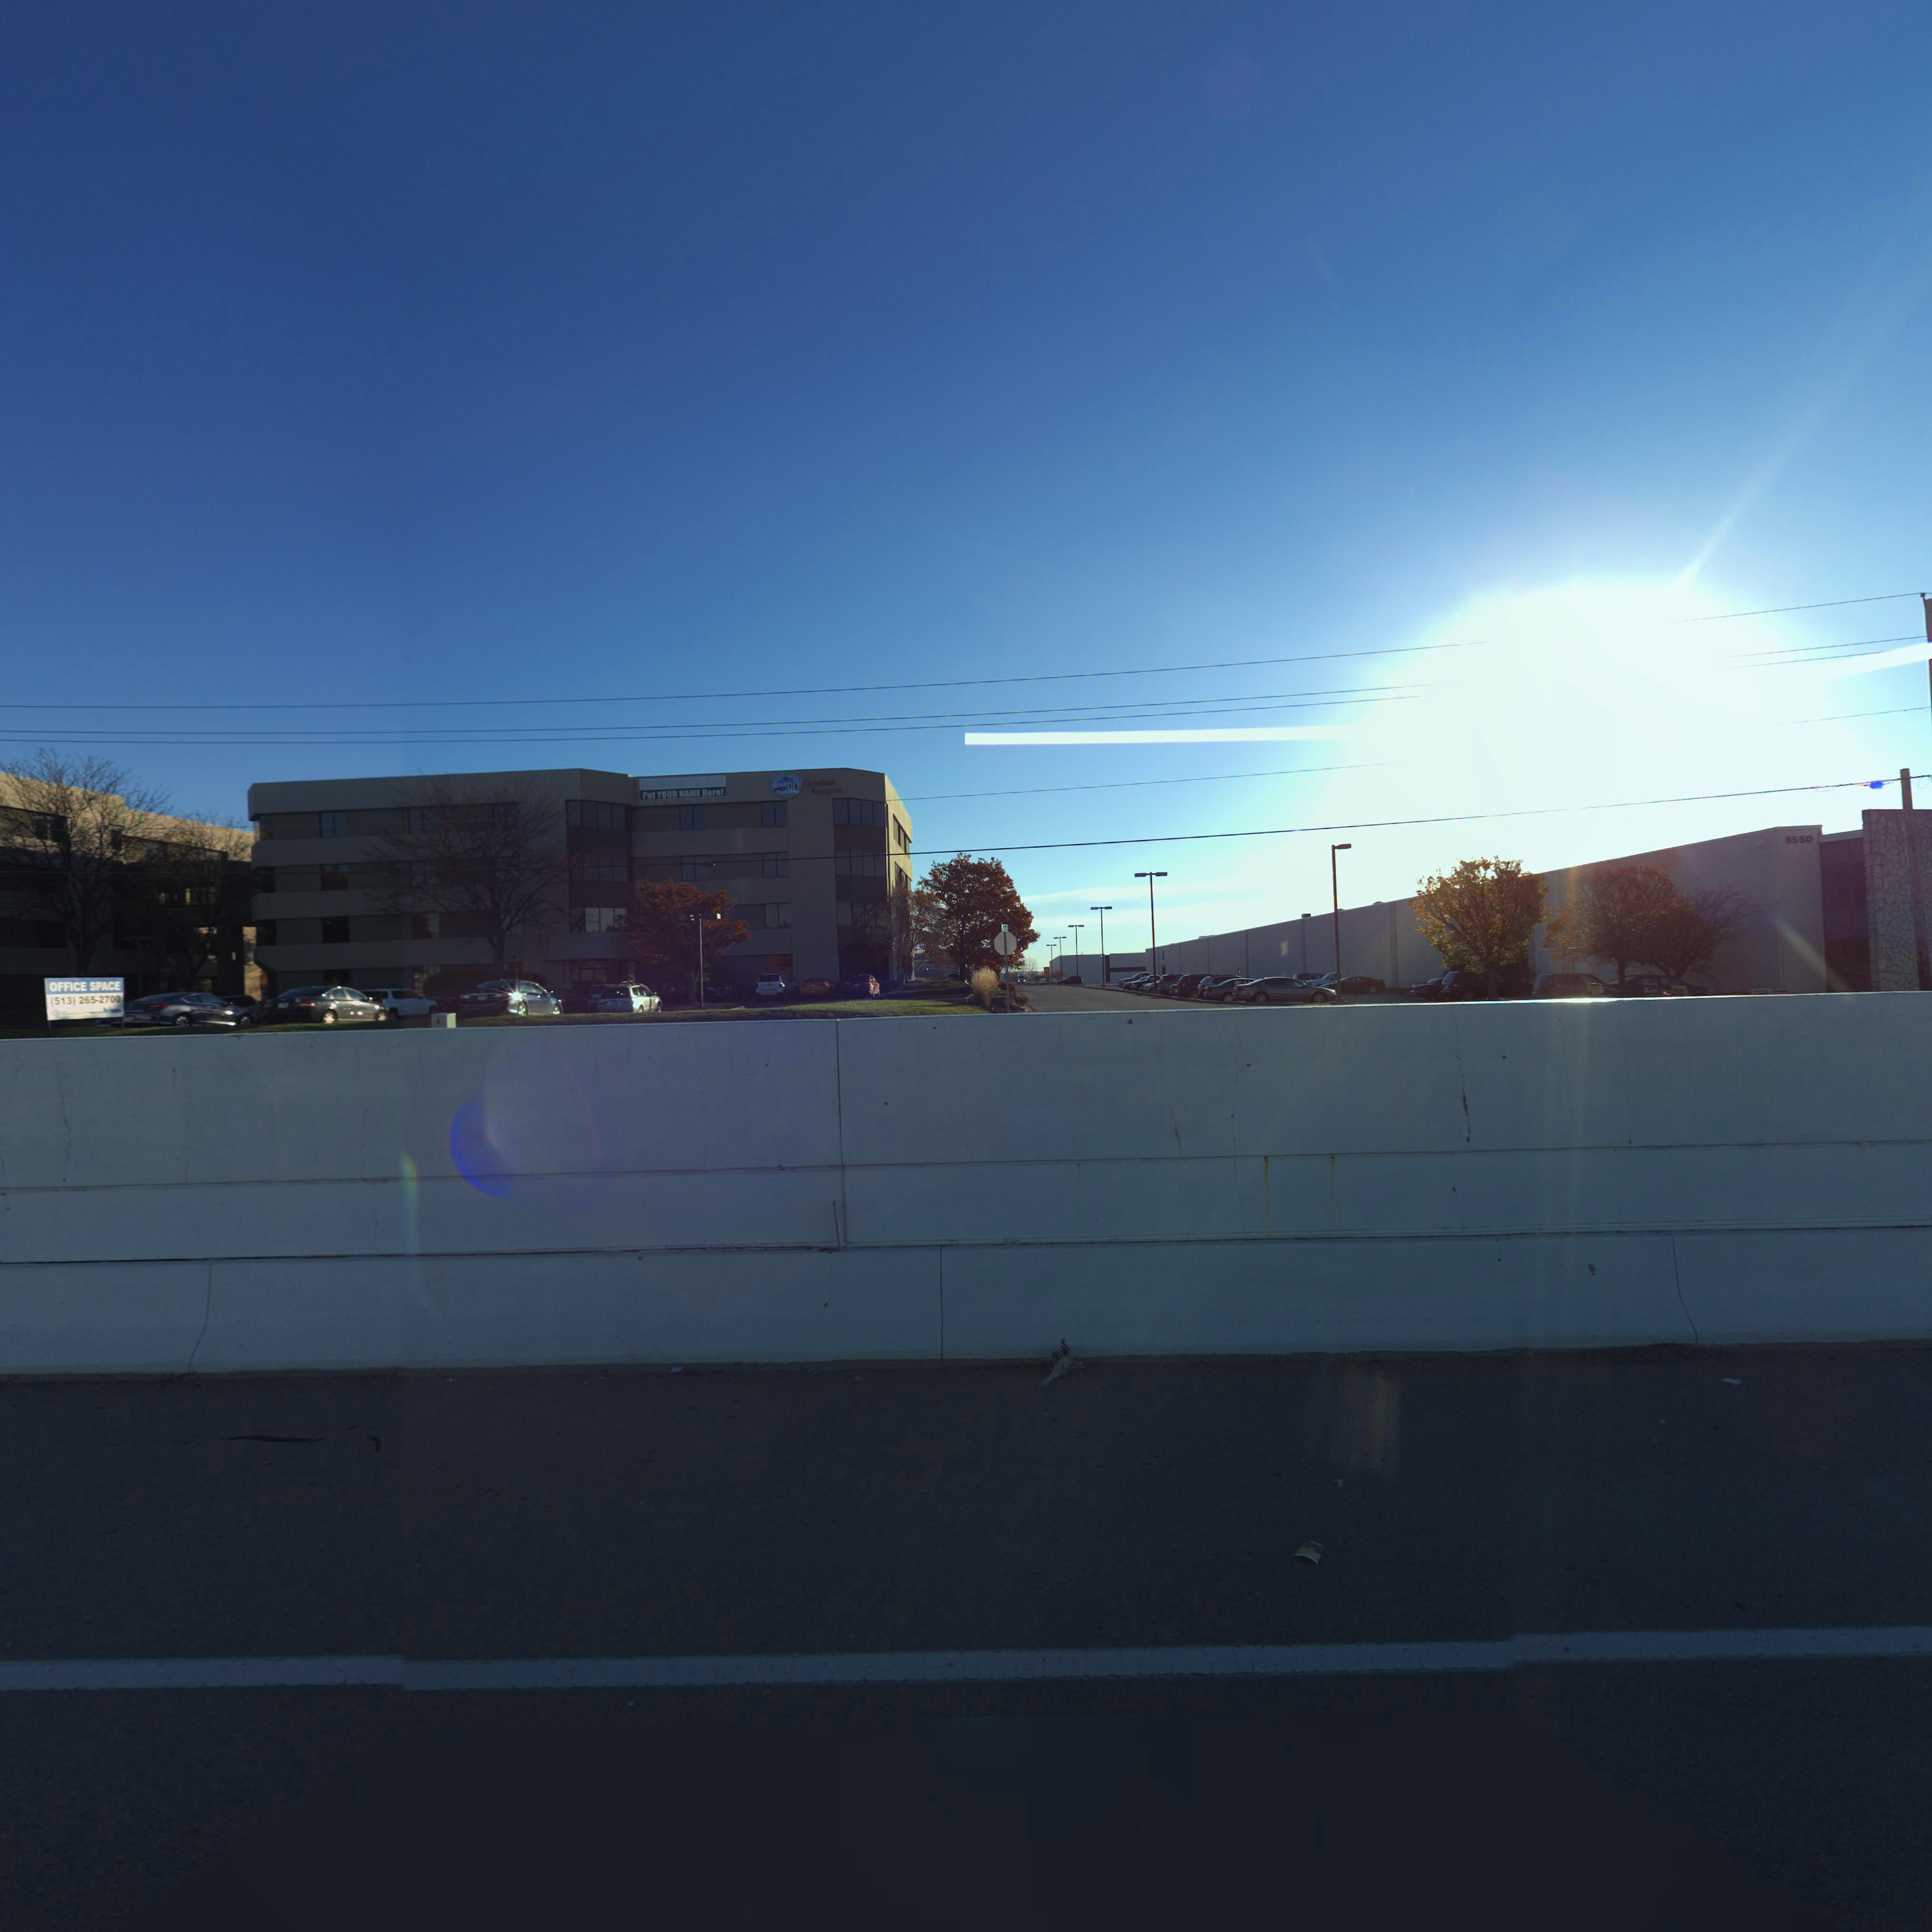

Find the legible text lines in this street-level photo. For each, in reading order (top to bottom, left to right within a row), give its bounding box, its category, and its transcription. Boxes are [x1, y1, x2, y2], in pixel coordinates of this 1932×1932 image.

[640, 787, 724, 800] None: Put YOUR NAME Here
[1784, 833, 1815, 846] StreetNumber: 6550
[48, 979, 123, 994] None: OFFICE SPACE
[48, 995, 123, 1007] None: (513)265-2700